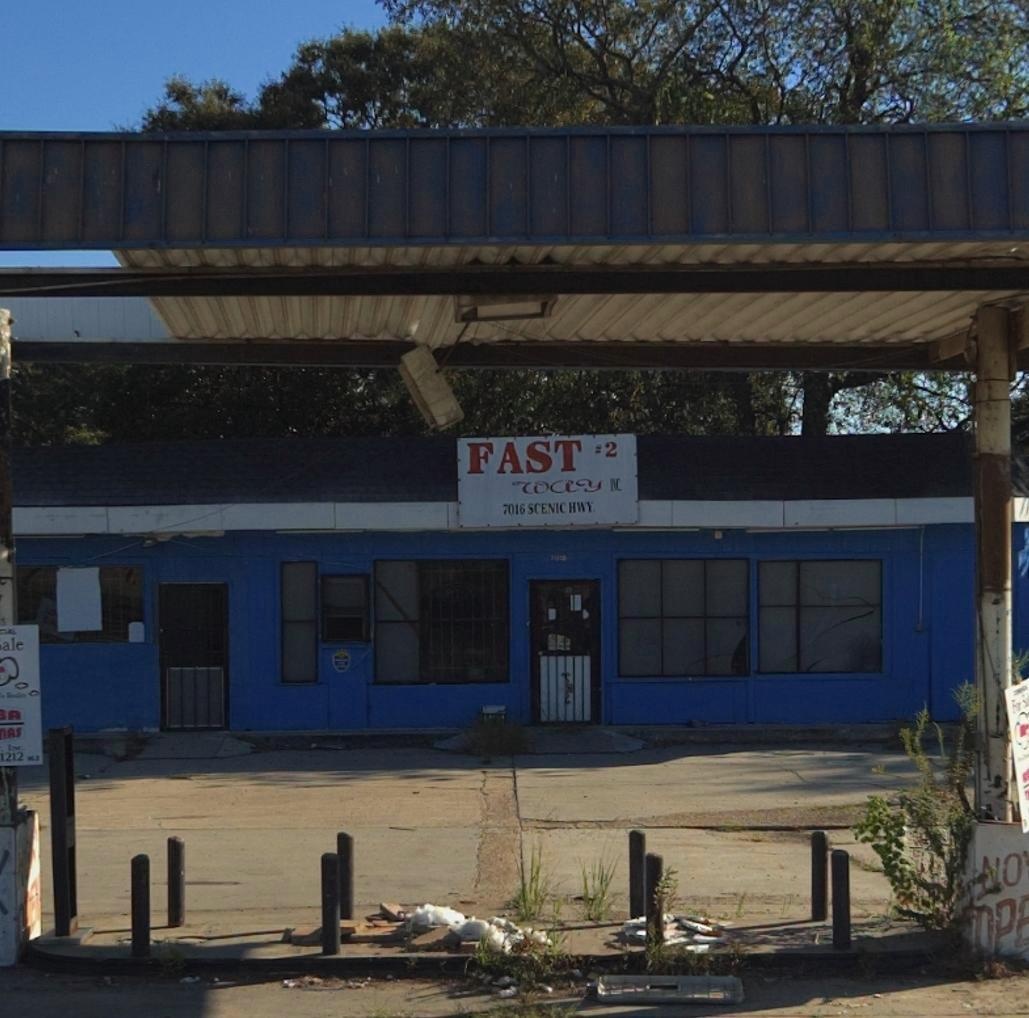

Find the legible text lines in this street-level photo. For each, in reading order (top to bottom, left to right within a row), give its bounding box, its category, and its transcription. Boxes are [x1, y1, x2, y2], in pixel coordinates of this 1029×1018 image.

[462, 437, 584, 475] BusinessName: FAST
[603, 439, 619, 460] BusinessName: 2
[511, 477, 602, 494] BusinessName: *OC*Y
[607, 476, 625, 494] BusinessName: INC.
[499, 501, 526, 517] StreetNumber: 7016
[526, 500, 596, 516] StreetName: SCENIC HWY.
[1, 634, 26, 655] None: ale
[3, 707, 24, 720] None: A
[4, 723, 25, 739] None: AS
[2, 749, 26, 764] None: 212
[978, 848, 1027, 890] None: NO
[969, 896, 1020, 951] None: OP